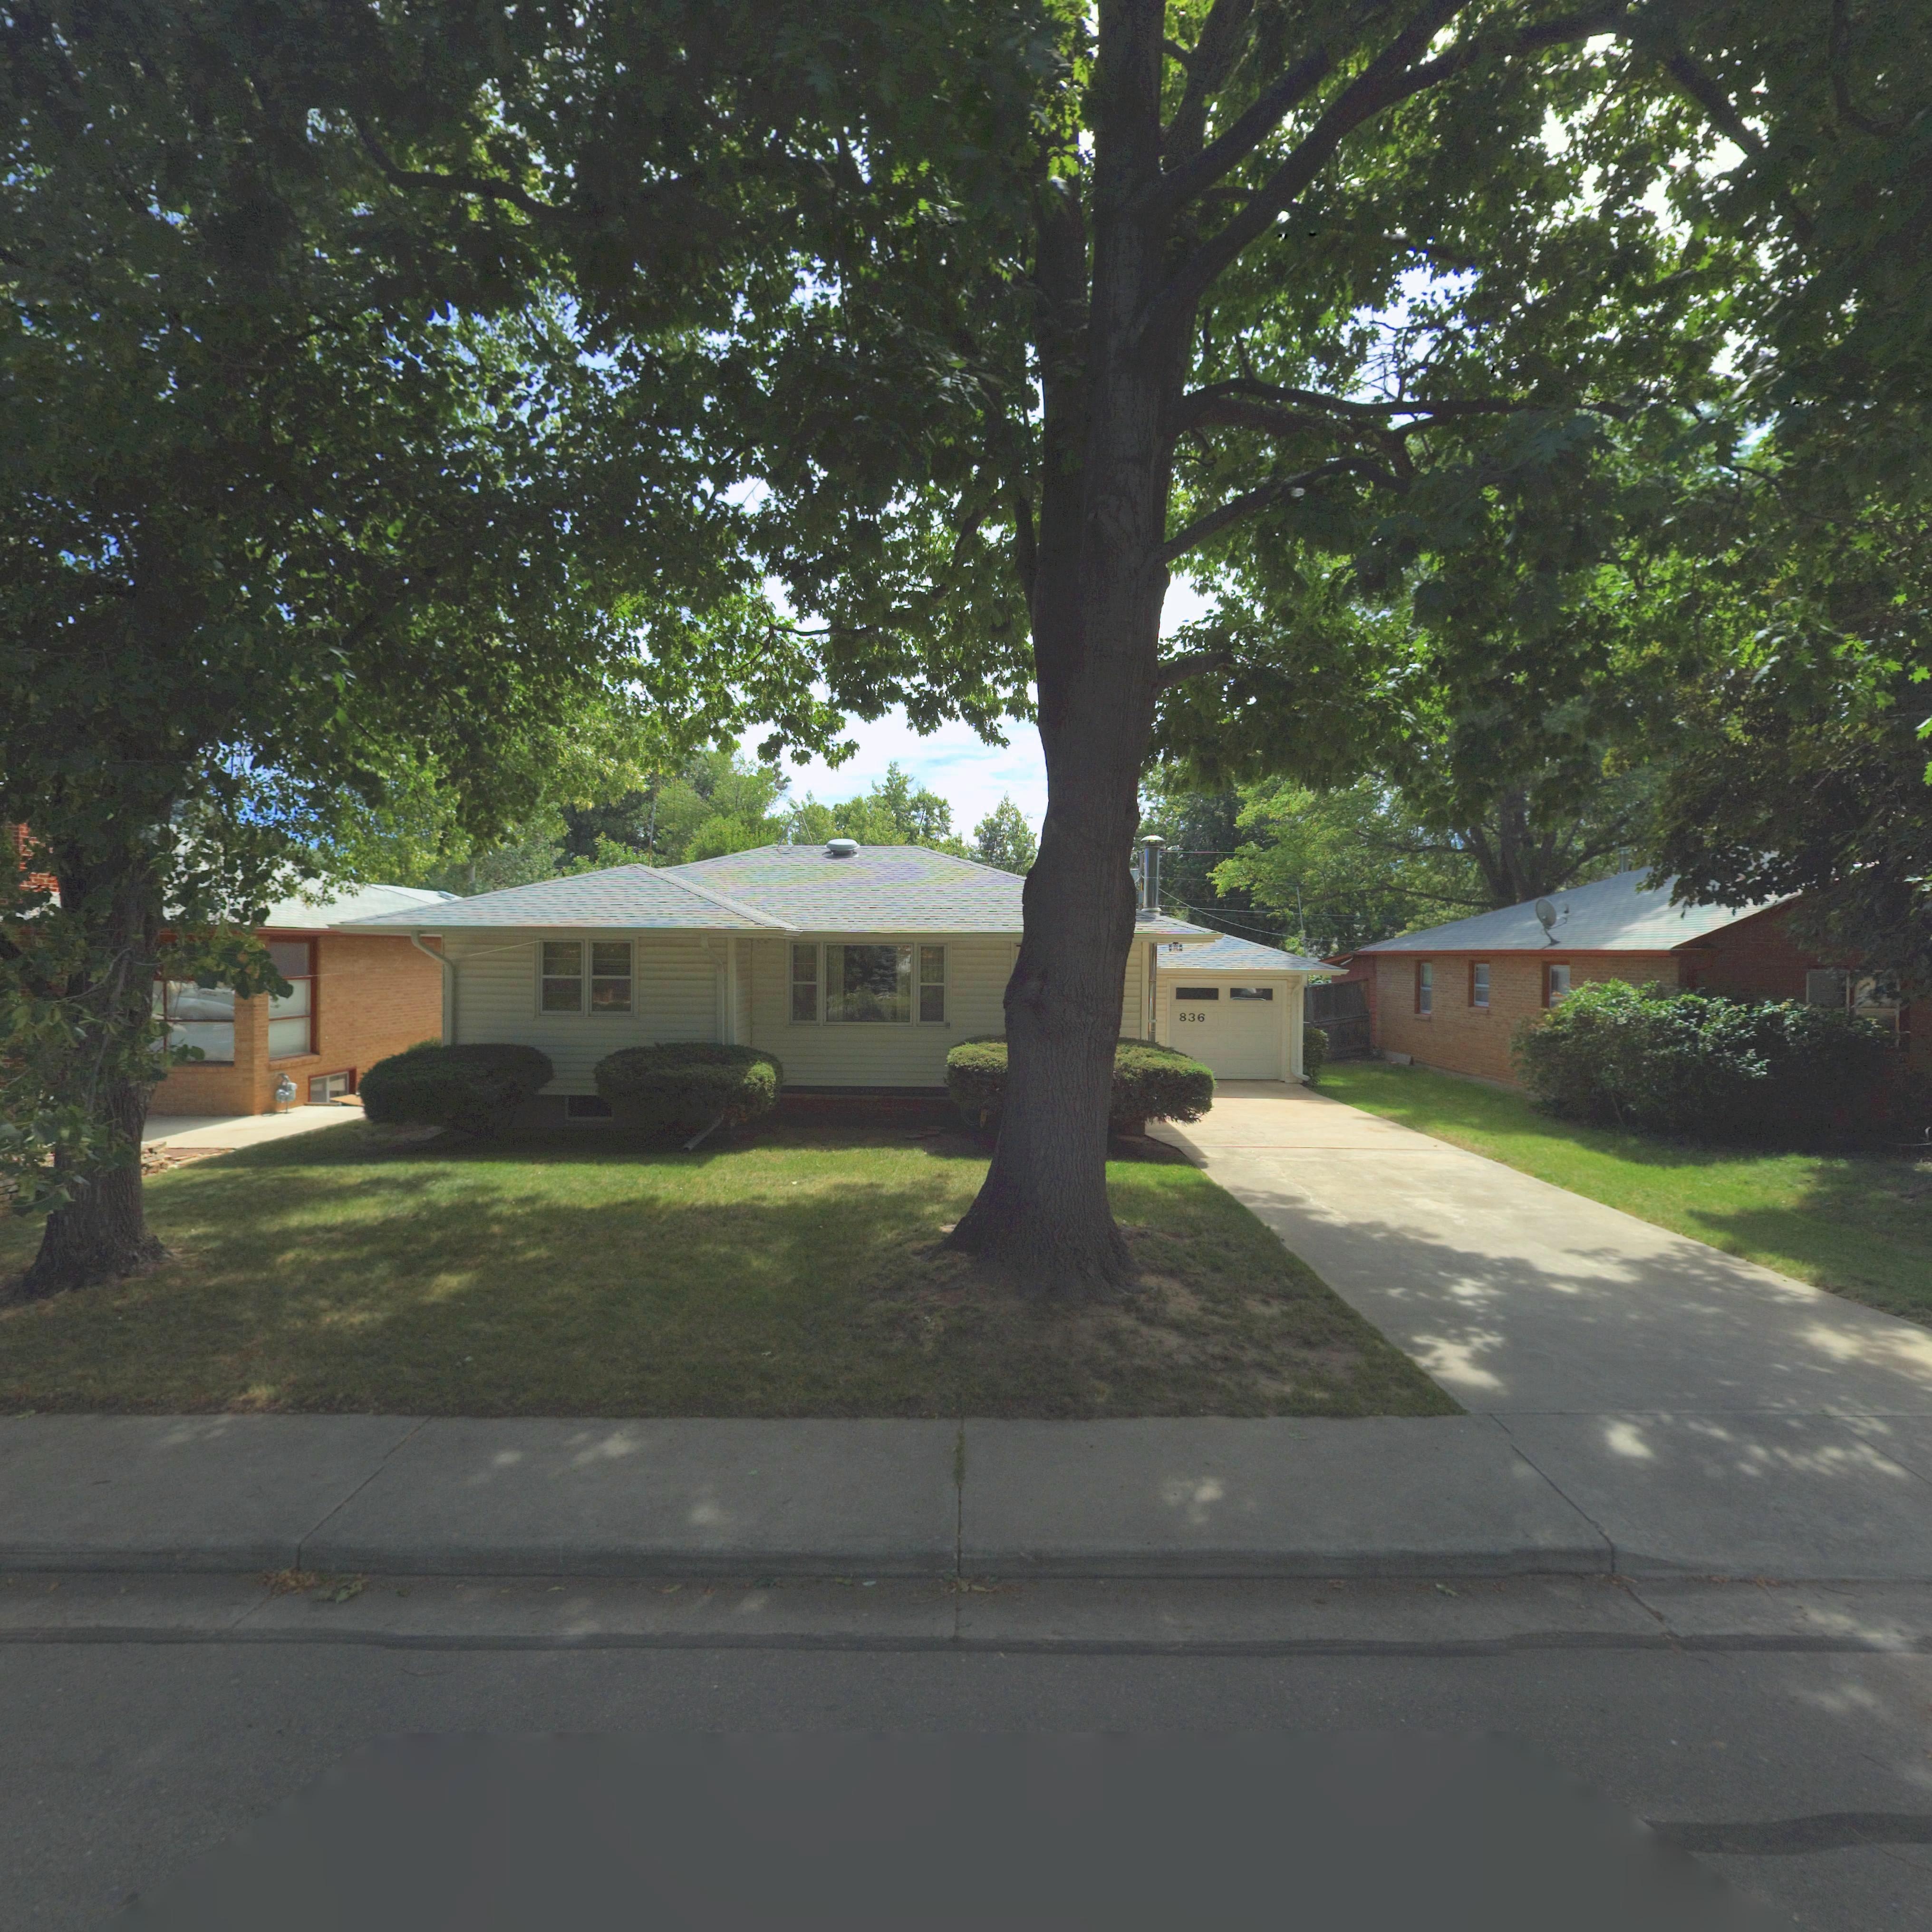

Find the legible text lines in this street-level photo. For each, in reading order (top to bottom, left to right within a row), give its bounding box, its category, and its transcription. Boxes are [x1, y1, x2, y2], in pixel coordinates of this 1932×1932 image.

[1179, 1013, 1205, 1022] StreetNumber: 836